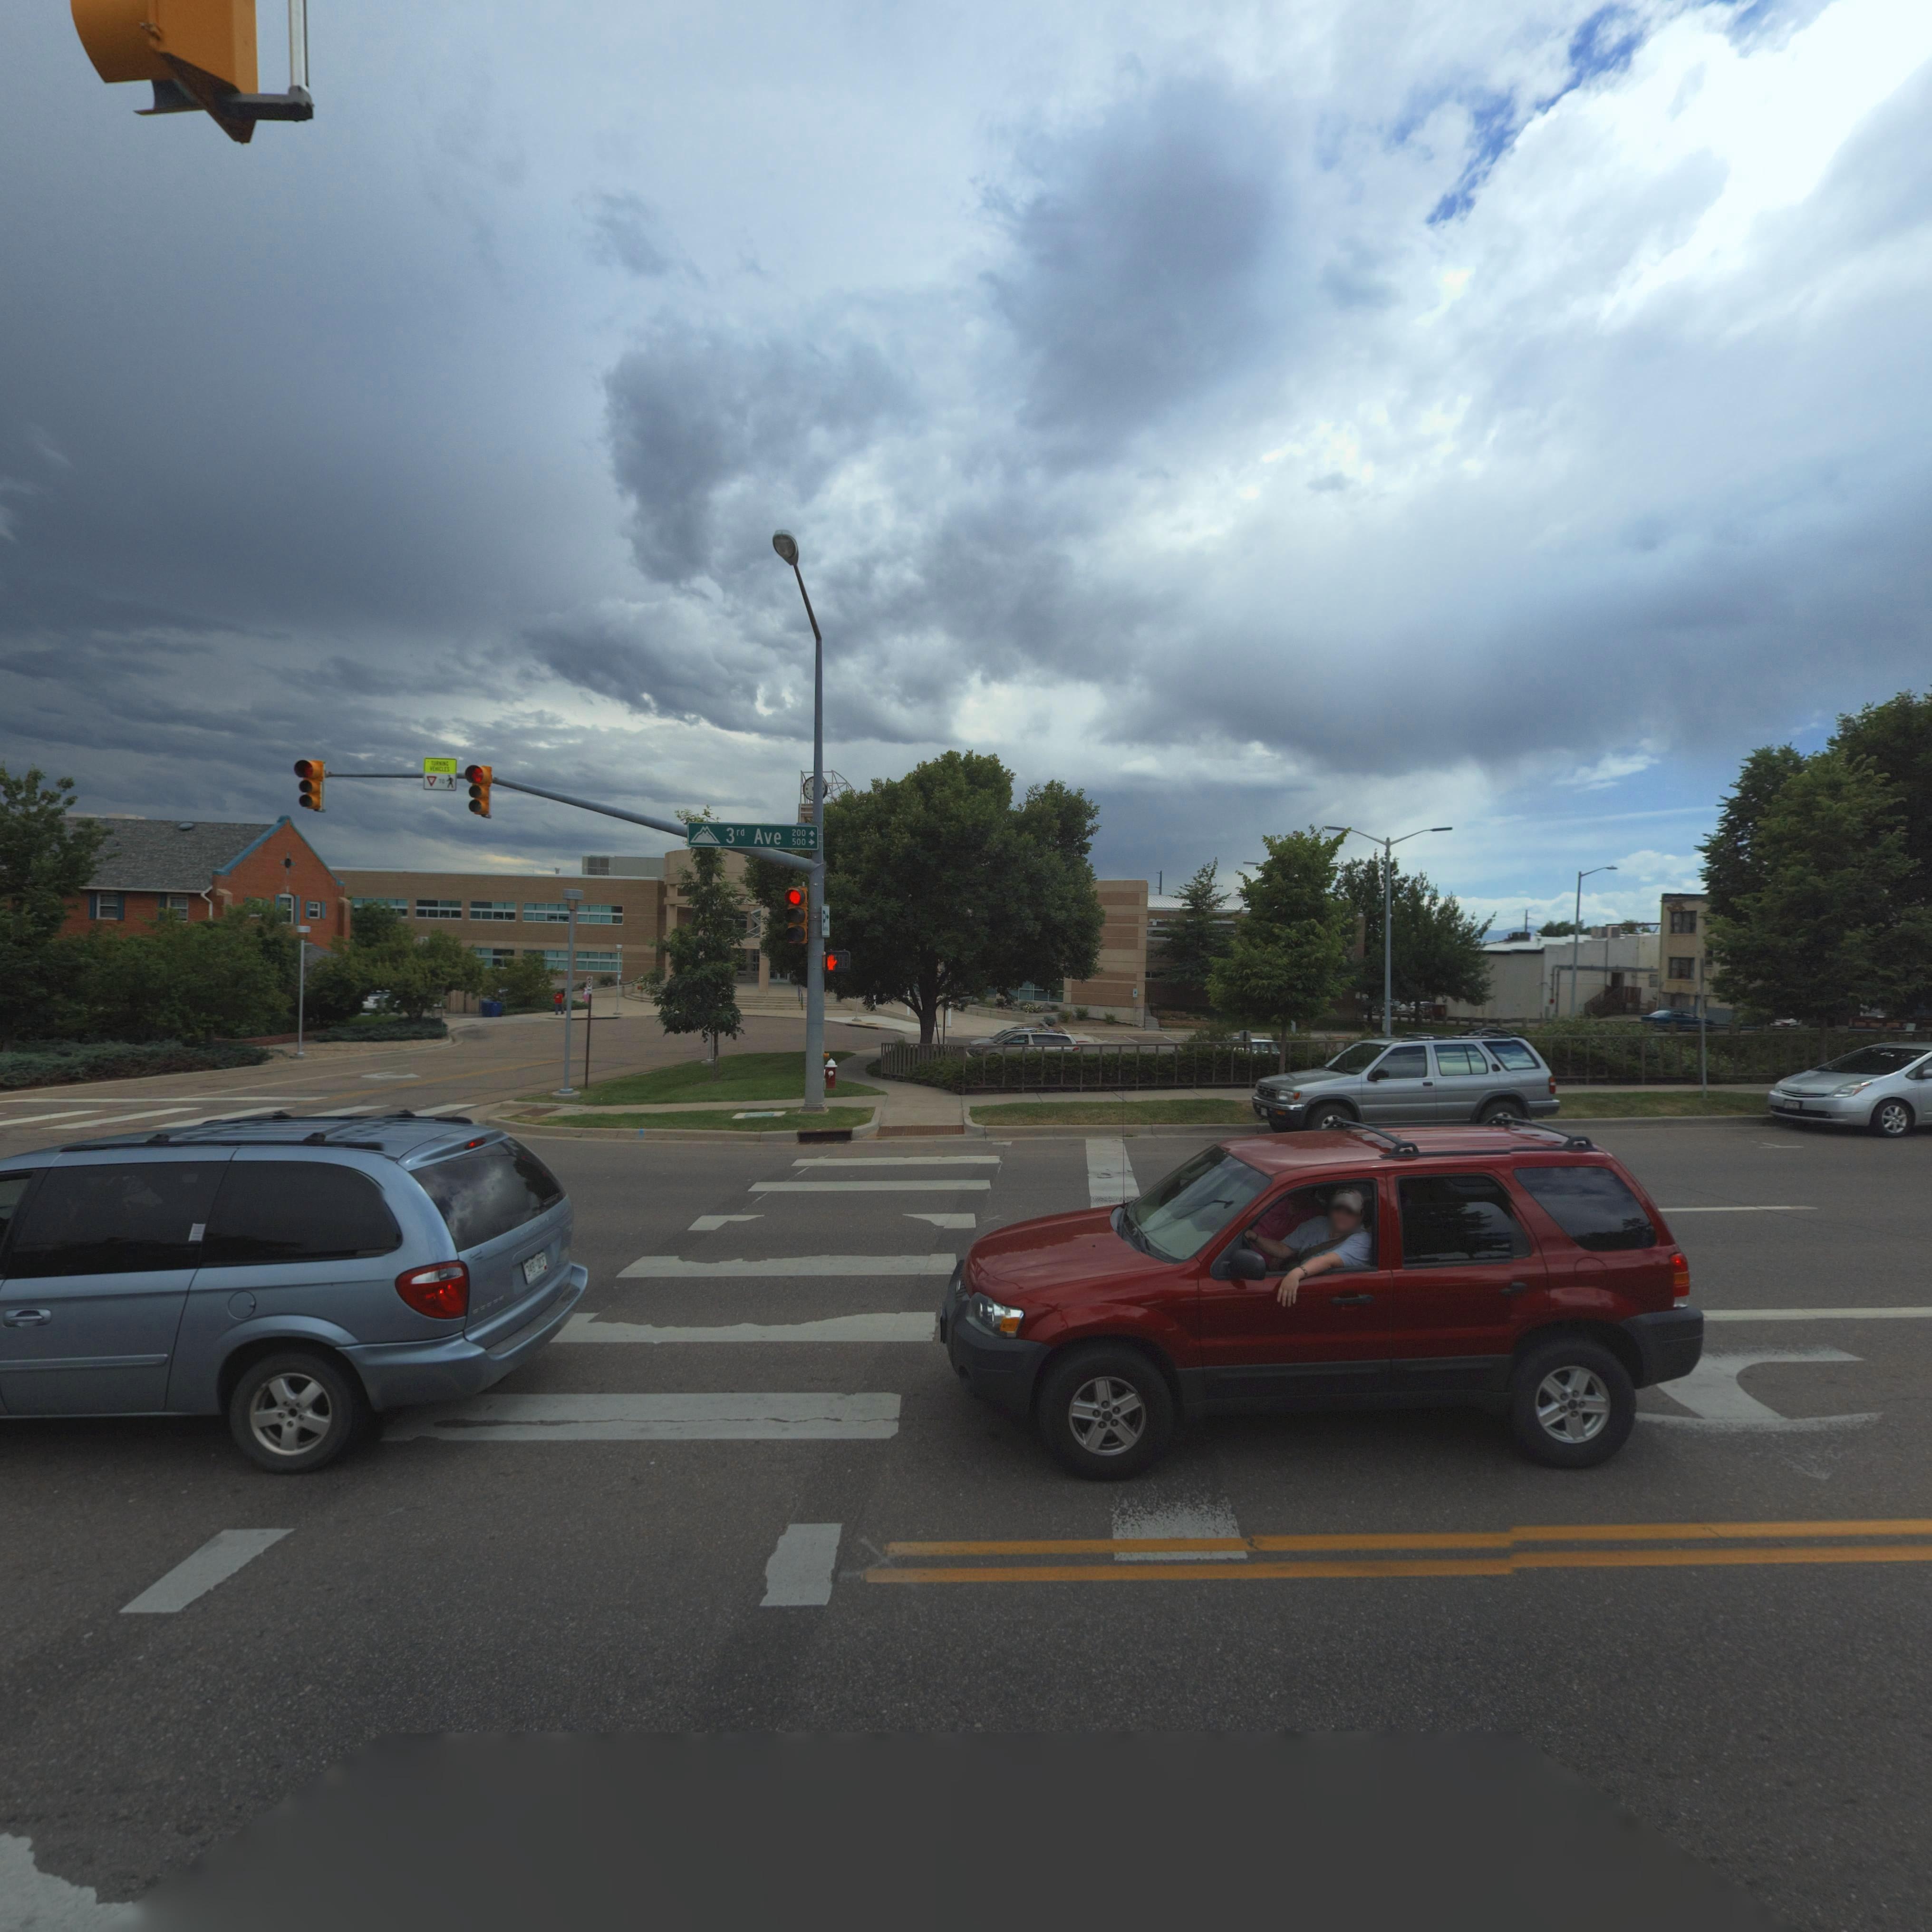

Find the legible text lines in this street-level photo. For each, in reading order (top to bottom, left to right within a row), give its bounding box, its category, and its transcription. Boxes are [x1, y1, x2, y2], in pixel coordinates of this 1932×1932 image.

[725, 827, 782, 845] StreetName: 3rd Ave
[792, 829, 806, 836] StreetNumberRange: 200
[792, 838, 815, 845] StreetNumberRange: 500->